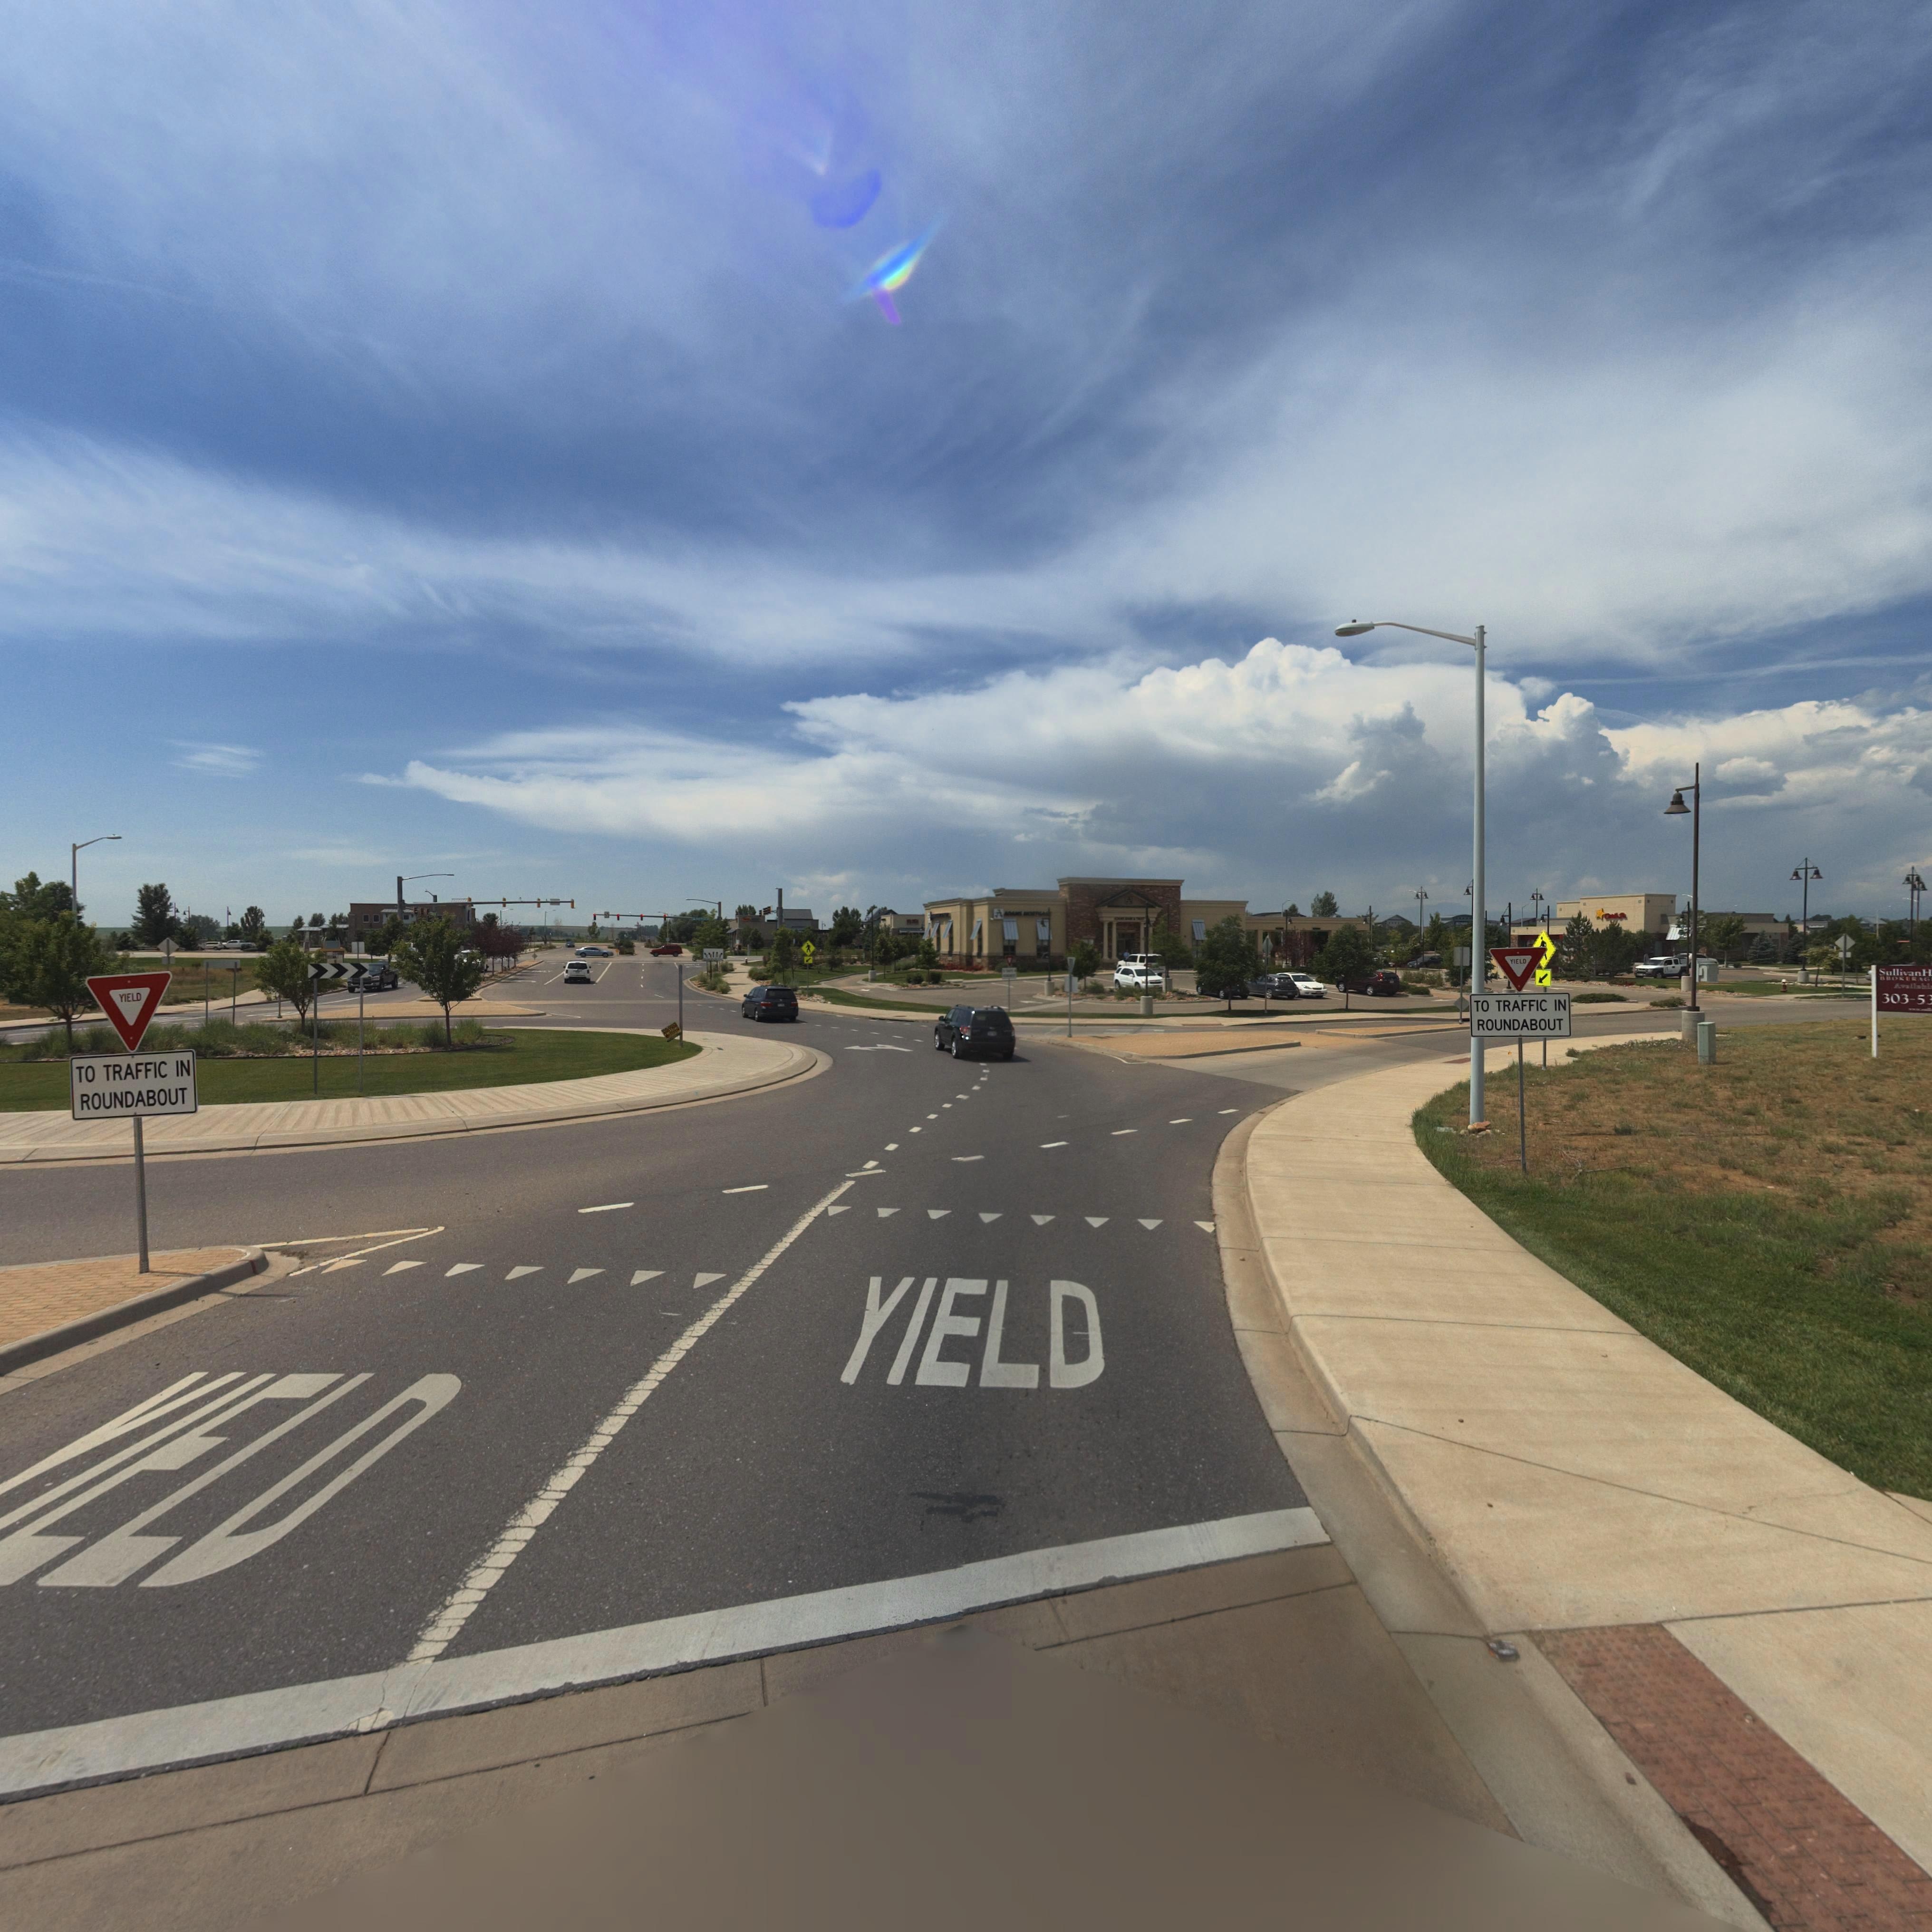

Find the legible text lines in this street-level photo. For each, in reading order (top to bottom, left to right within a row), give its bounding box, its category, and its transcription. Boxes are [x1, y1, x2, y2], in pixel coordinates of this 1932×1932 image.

[1124, 895, 1133, 903] BusinessName: A
[993, 908, 1004, 918] BusinessName: A
[1003, 910, 1052, 917] BusinessName: ADAMS MORTGA*E